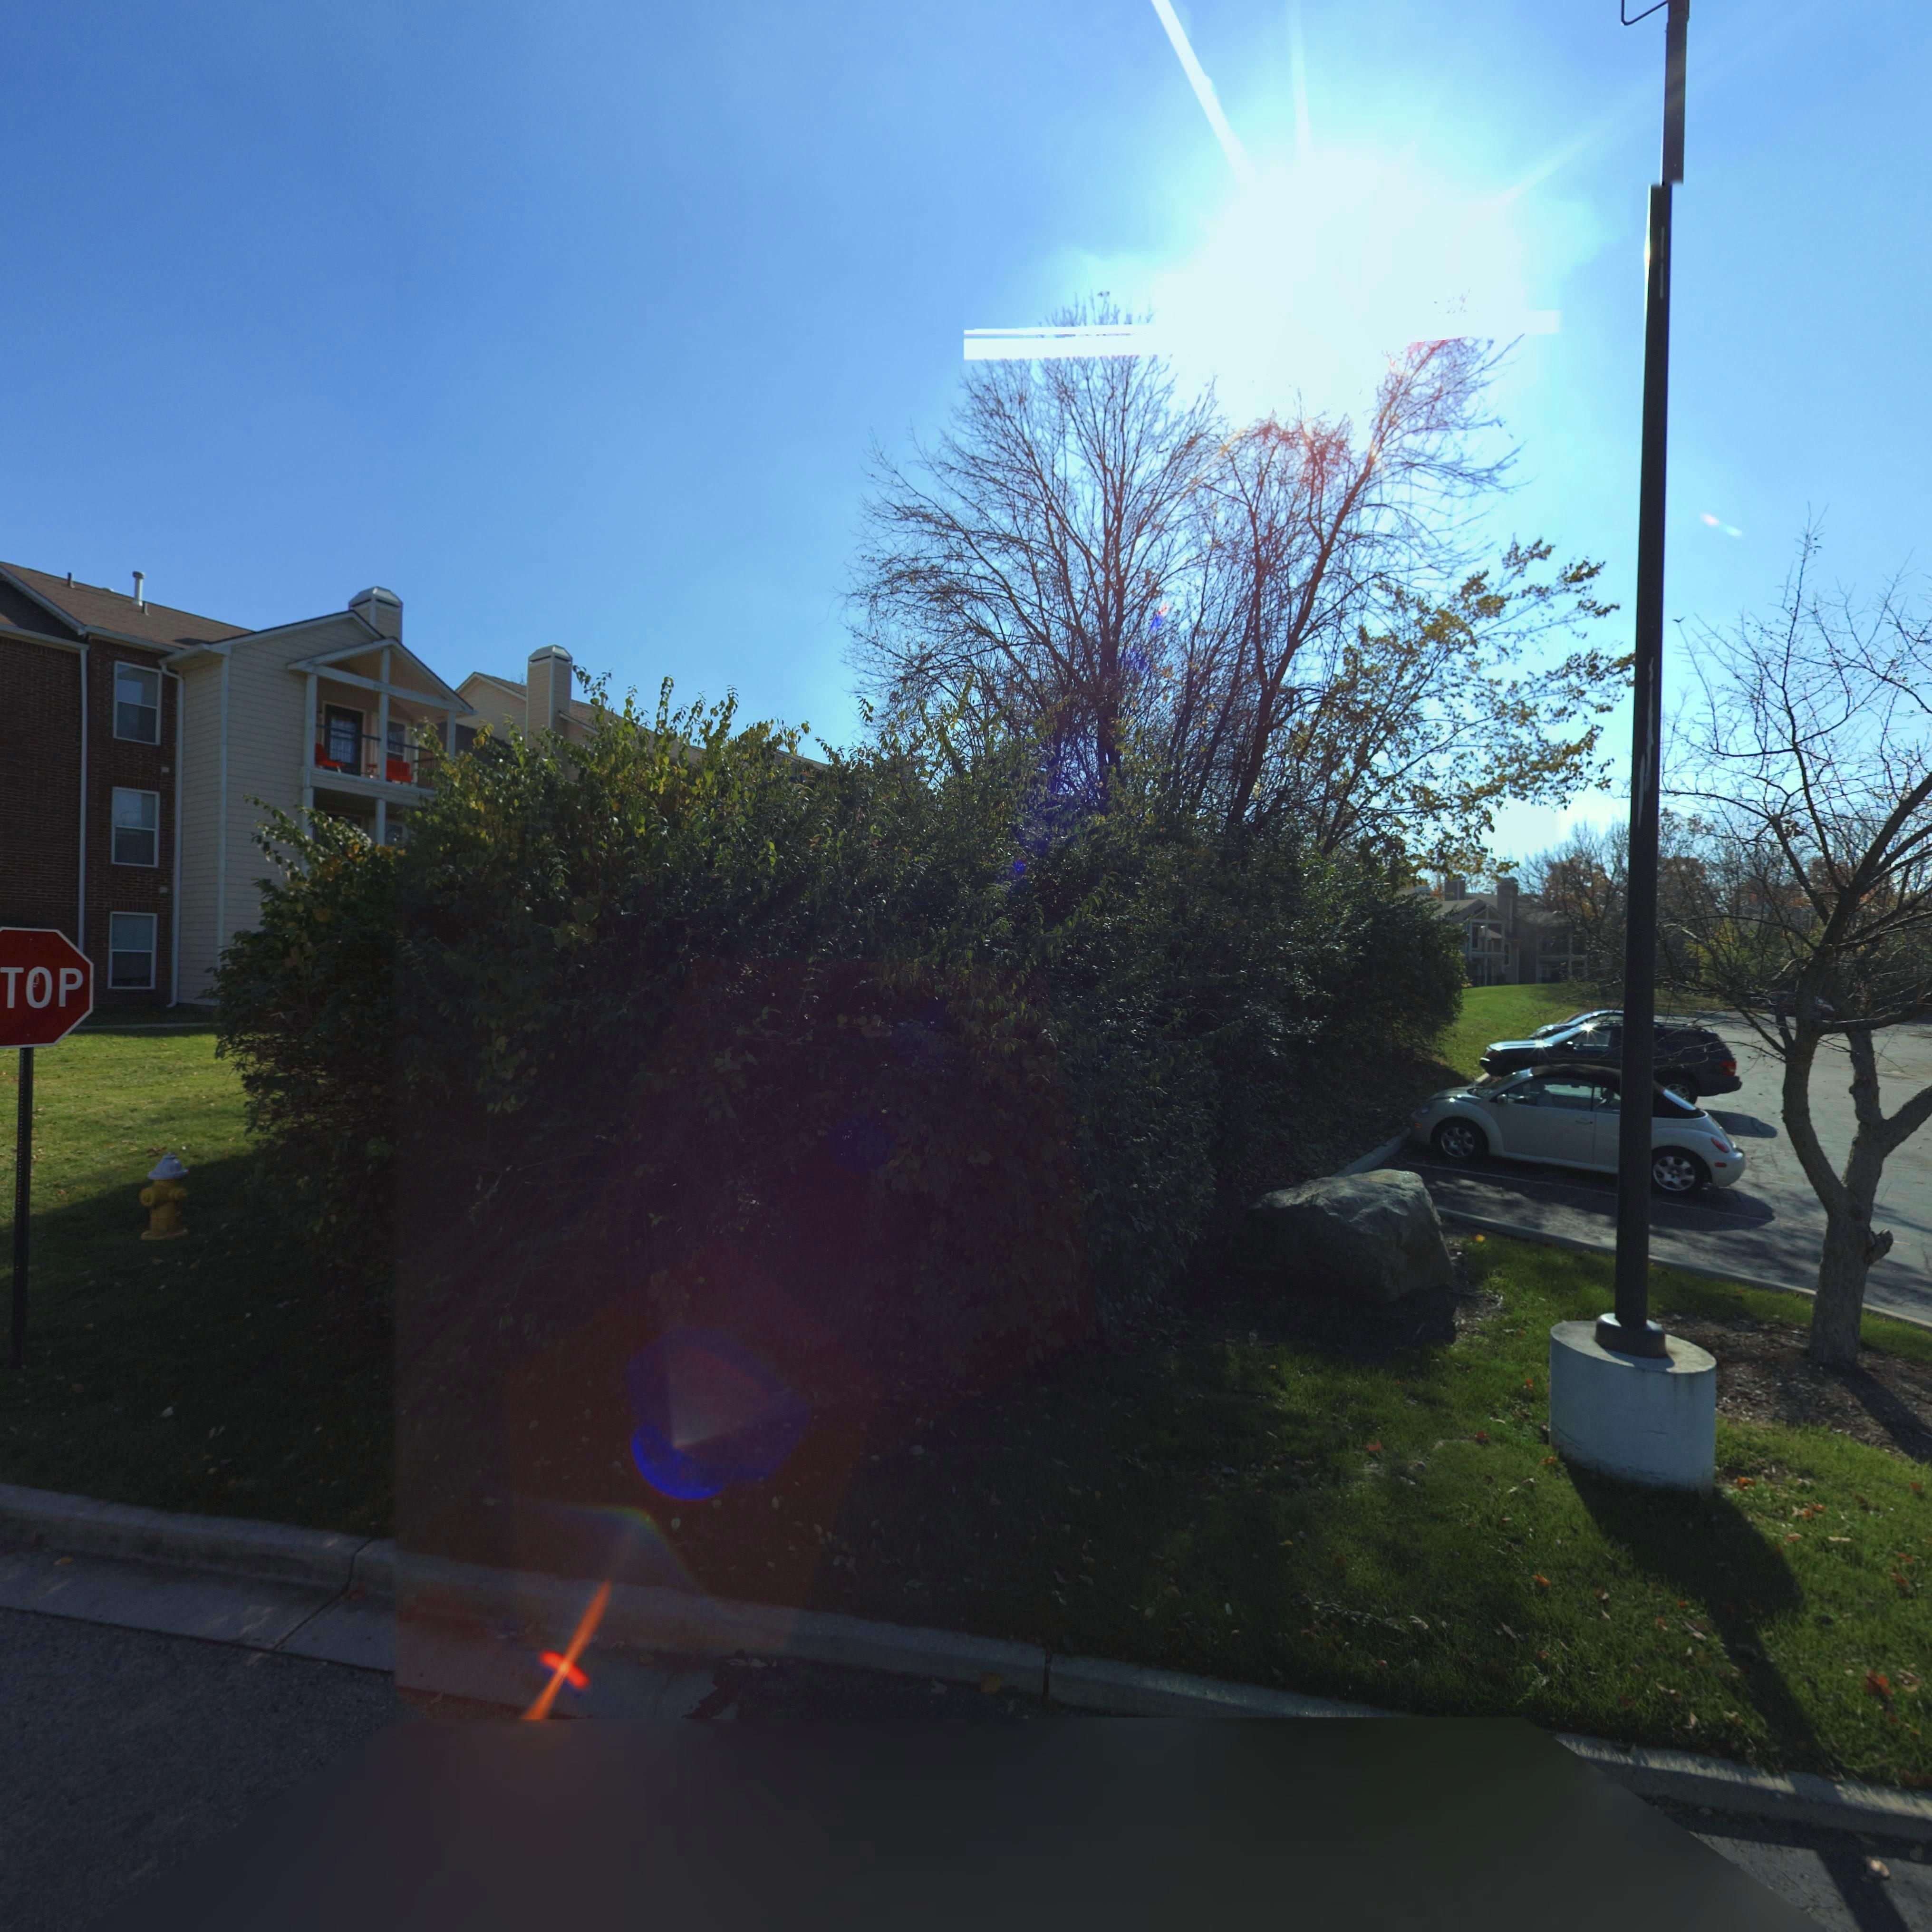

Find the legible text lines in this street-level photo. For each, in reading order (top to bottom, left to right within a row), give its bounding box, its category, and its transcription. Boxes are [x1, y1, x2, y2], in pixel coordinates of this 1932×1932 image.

[1, 966, 85, 1009] None: TOP